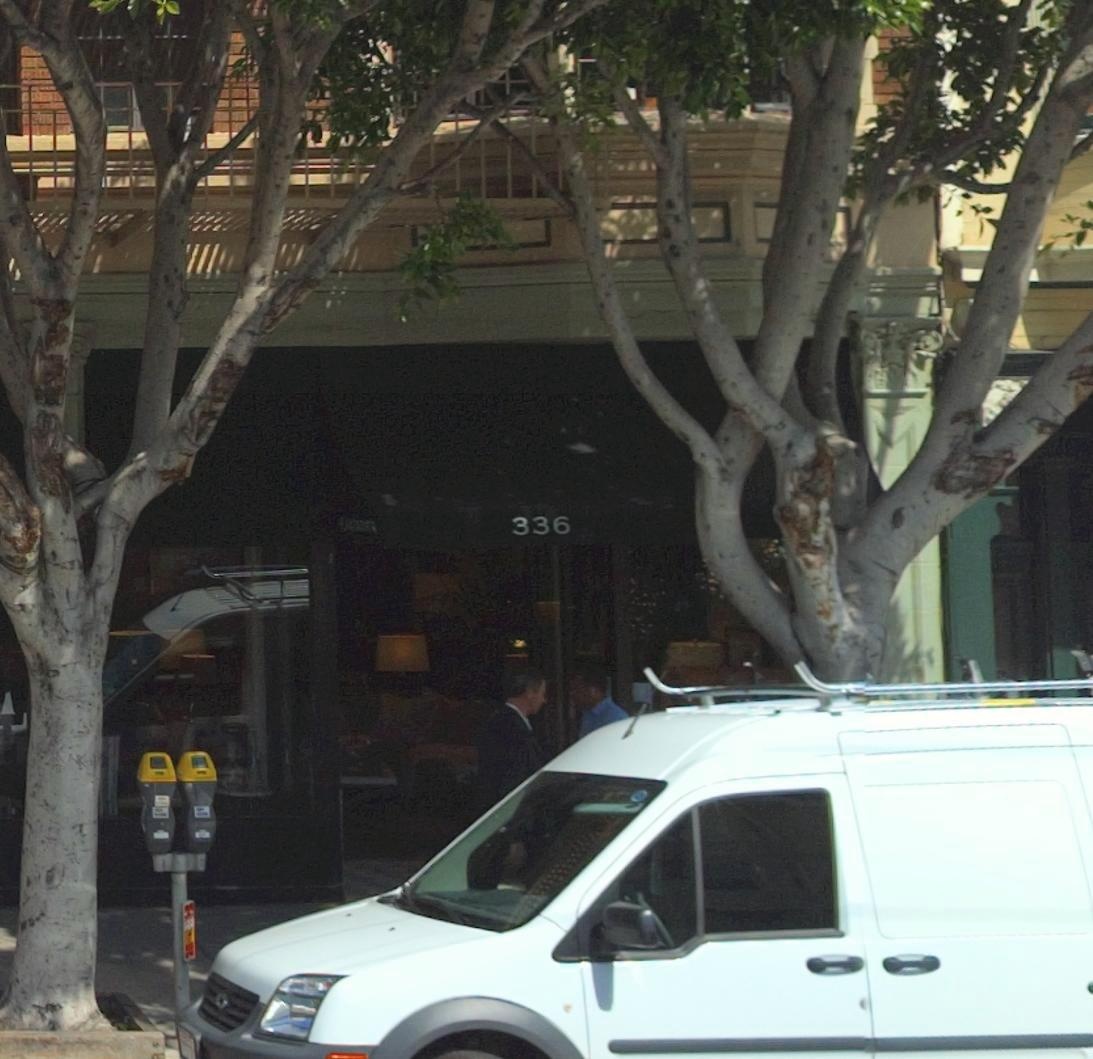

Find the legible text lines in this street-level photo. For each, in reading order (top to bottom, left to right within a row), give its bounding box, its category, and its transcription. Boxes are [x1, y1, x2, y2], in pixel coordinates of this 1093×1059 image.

[510, 514, 572, 538] StreetNumber: 336